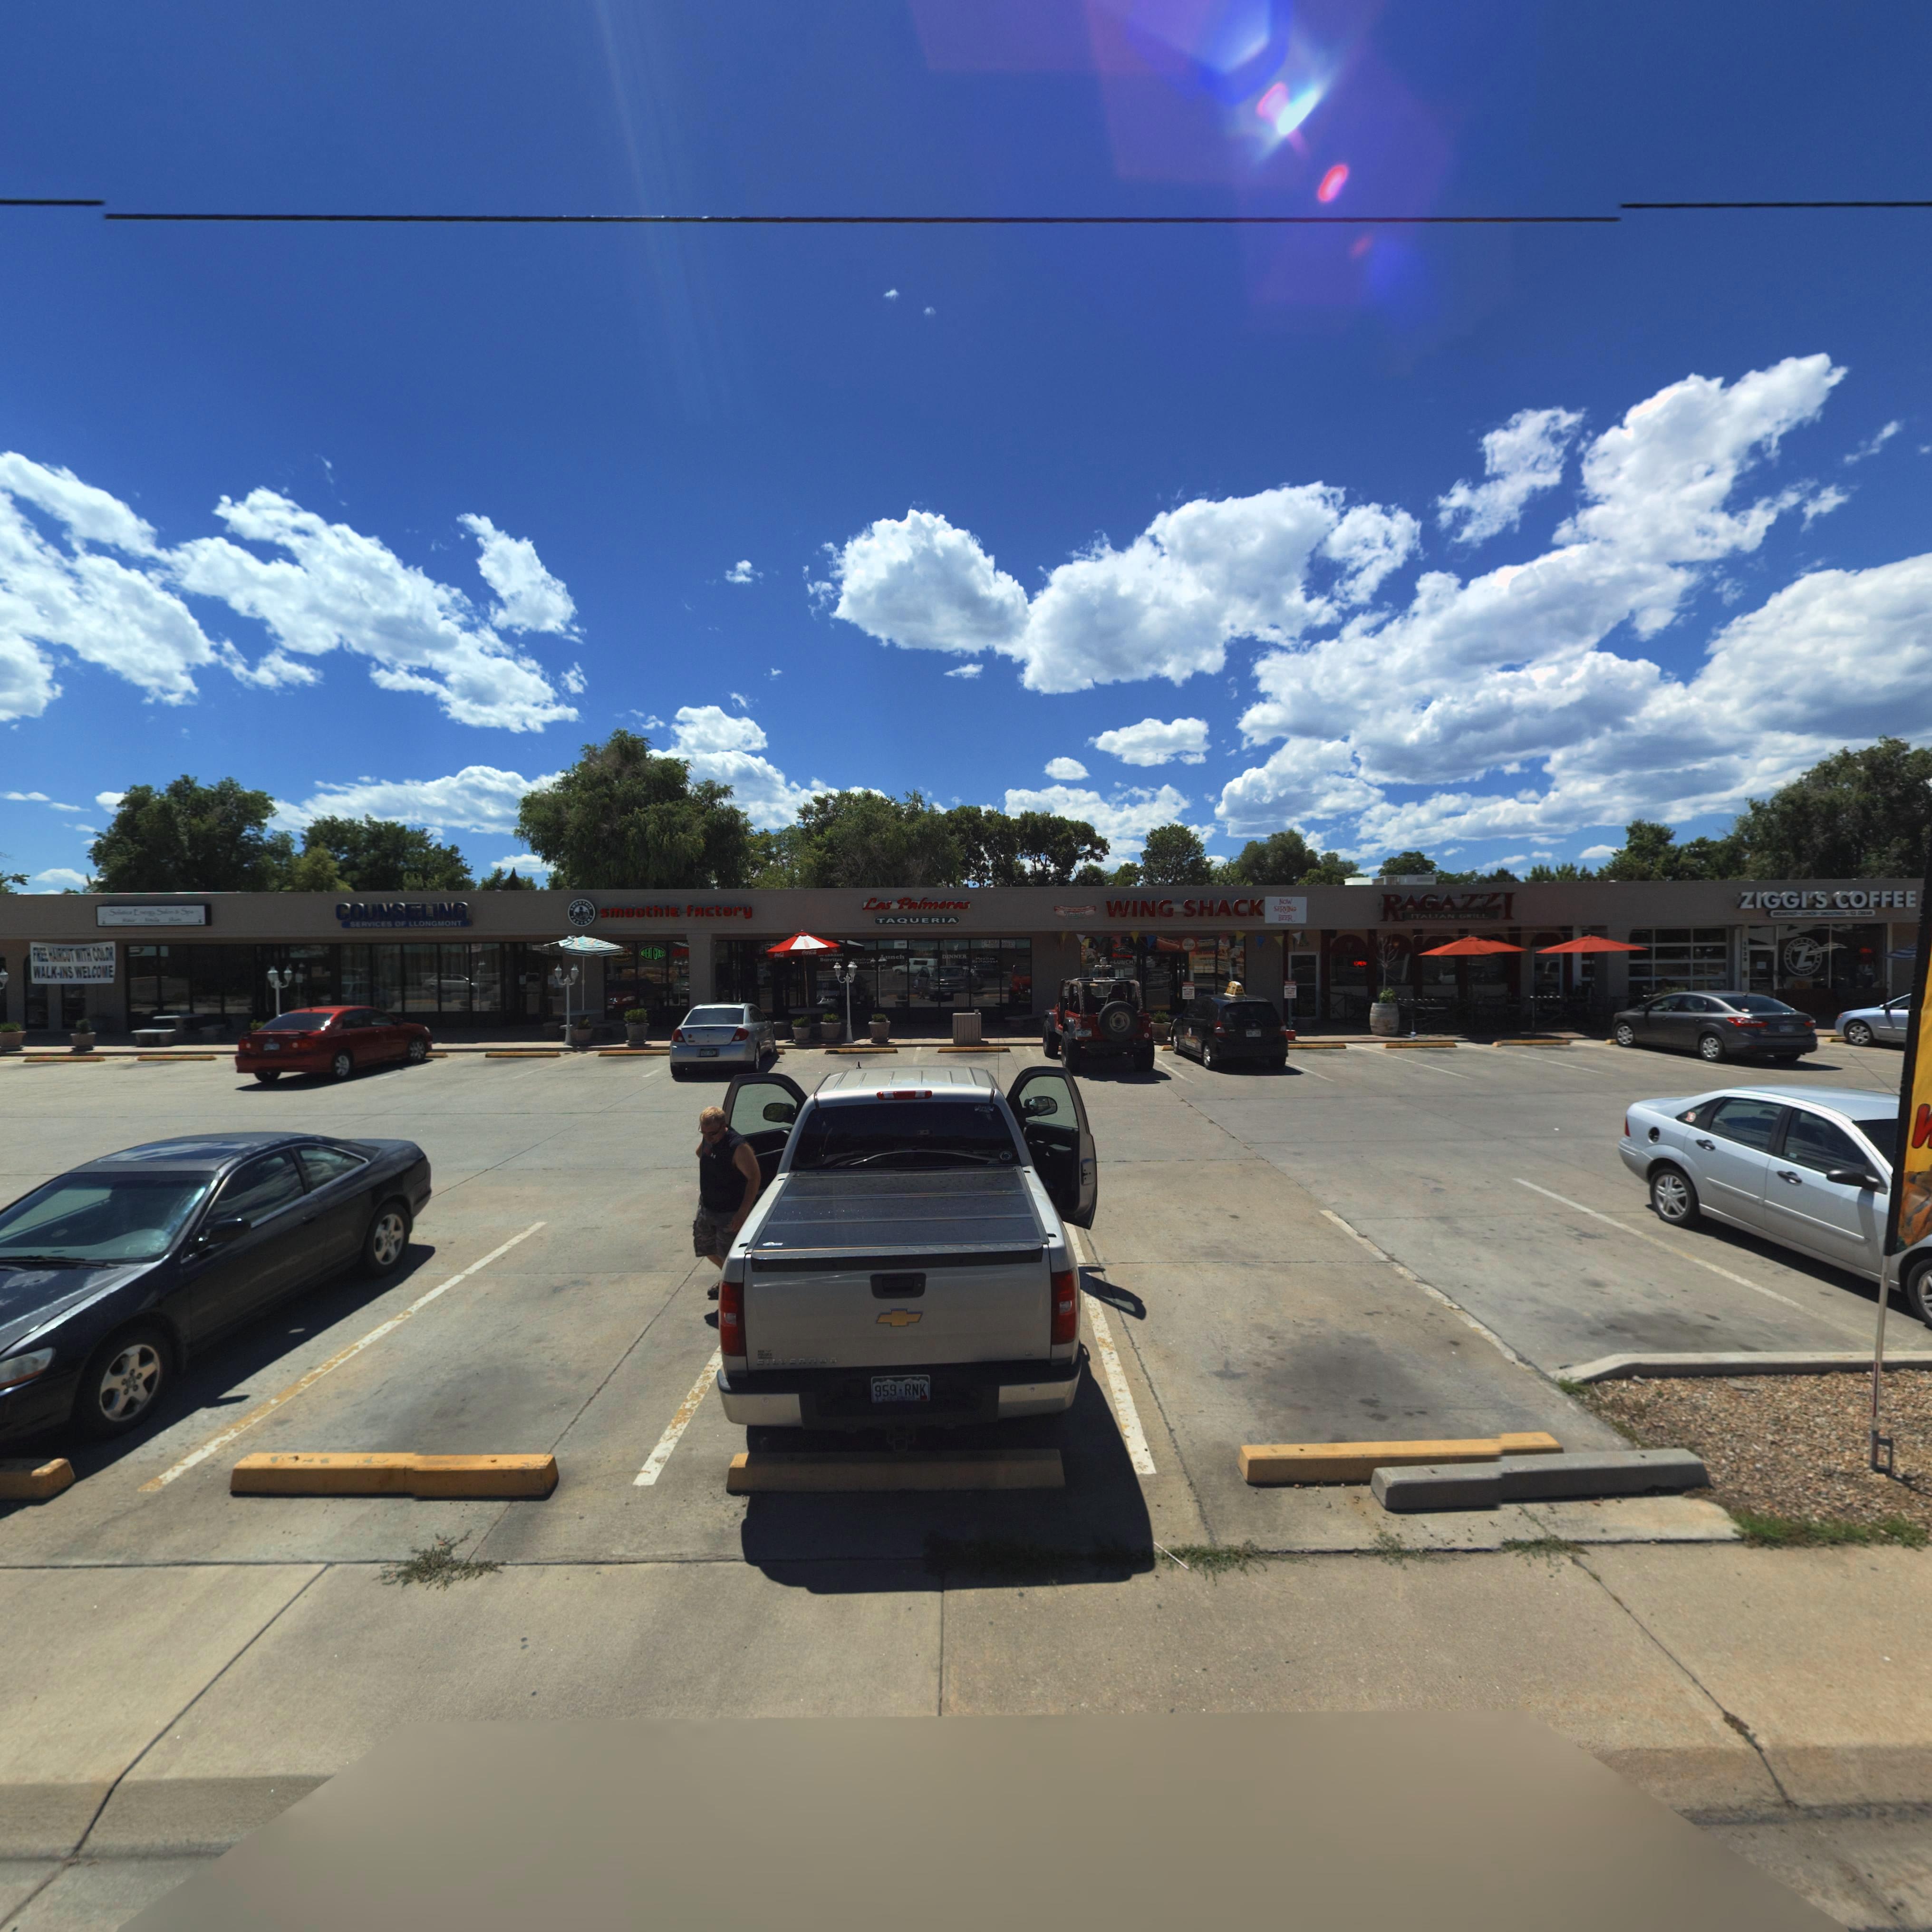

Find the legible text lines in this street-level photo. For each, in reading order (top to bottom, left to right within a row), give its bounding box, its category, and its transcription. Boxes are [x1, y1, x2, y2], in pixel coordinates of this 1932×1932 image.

[109, 907, 194, 916] BusinessName: Sol*** E*** Salon * Spa
[335, 900, 468, 921] BusinessName: COUNSELING
[349, 920, 462, 927] BusinessName: SERVICES OF LONGMONT
[570, 900, 592, 911] BusinessName: SMOOTHIE
[570, 914, 593, 924] BusinessName: FACTORY
[860, 896, 971, 910] BusinessName: Las Palmeras
[875, 917, 957, 923] BusinessName: TAQUERIA
[1063, 910, 1087, 917] BusinessName: Nath***
[1103, 898, 1265, 918] BusinessName: WING SHACK
[1378, 891, 1517, 922] BusinessName: RAGAZZI
[1410, 913, 1488, 918] BusinessName: ITALIAN GRILL
[1739, 889, 1917, 909] BusinessName: ZIGGI'S COFFEE
[1742, 941, 1748, 962] StreetNumber: 1139